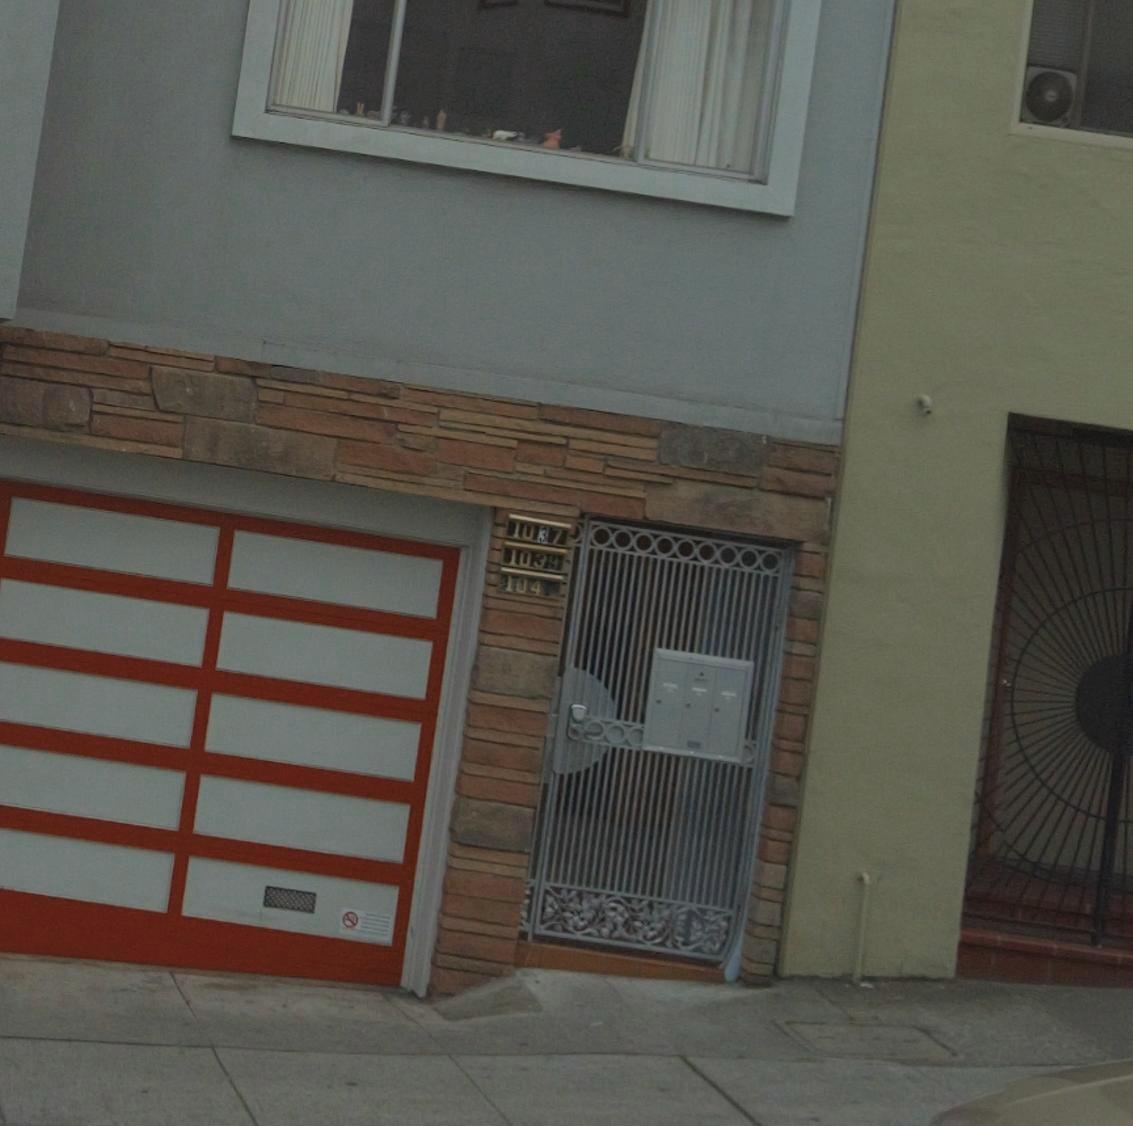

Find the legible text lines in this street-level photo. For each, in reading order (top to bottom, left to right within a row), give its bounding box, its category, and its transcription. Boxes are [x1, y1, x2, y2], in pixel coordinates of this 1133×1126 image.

[509, 518, 568, 550] StreetNumber: 1037
[507, 546, 564, 576] StreetNumber: 1039
[500, 571, 547, 602] StreetNumber: 104